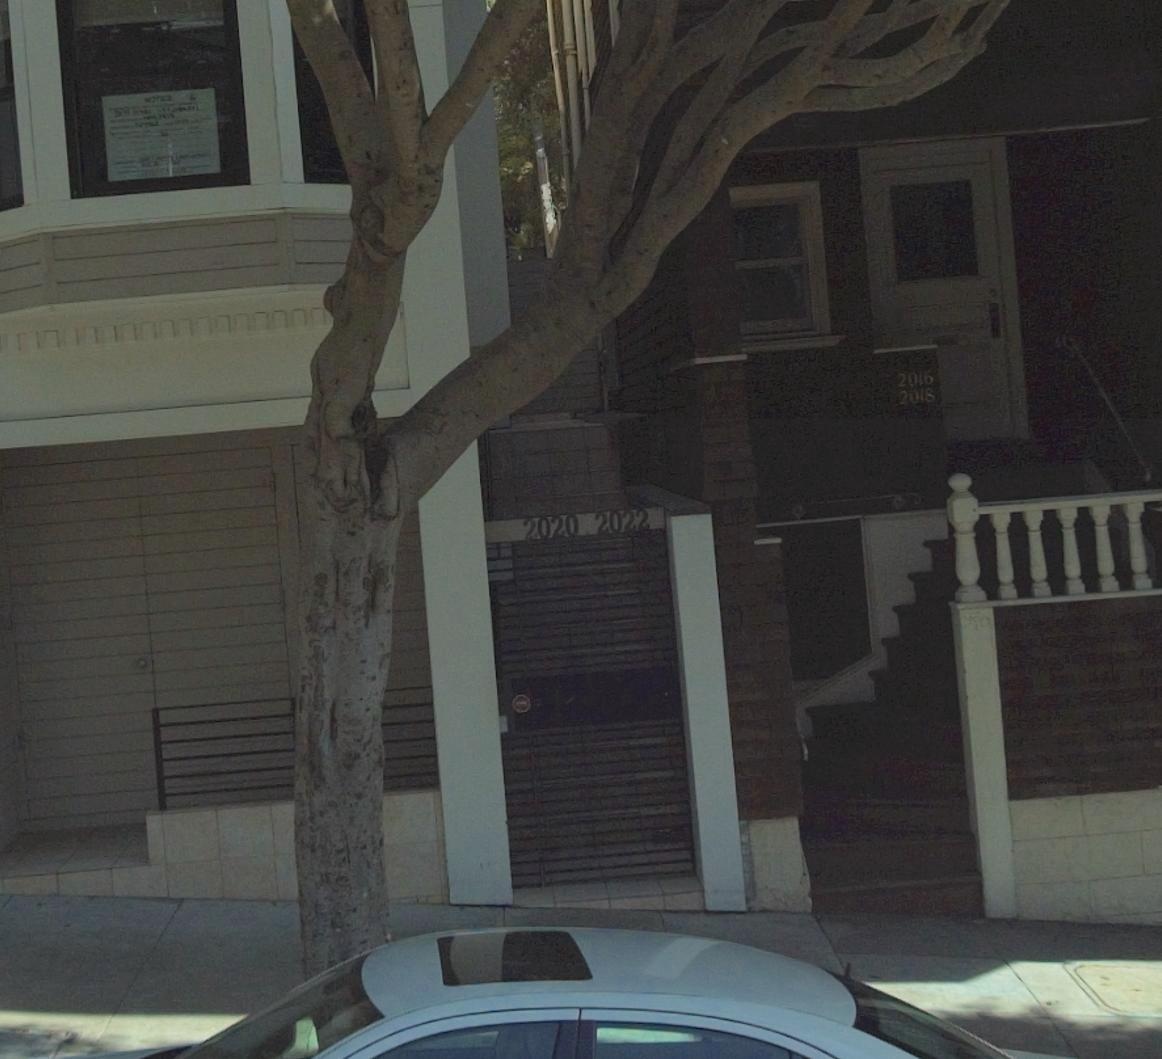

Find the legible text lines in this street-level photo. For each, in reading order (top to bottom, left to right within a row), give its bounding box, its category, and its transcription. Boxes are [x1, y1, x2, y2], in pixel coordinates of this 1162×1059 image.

[896, 368, 937, 388] StreetNumber: 2016
[899, 386, 938, 406] StreetNumber: 2018
[521, 510, 581, 544] StreetNumber: 2020
[592, 506, 652, 535] StreetNumber: 2022